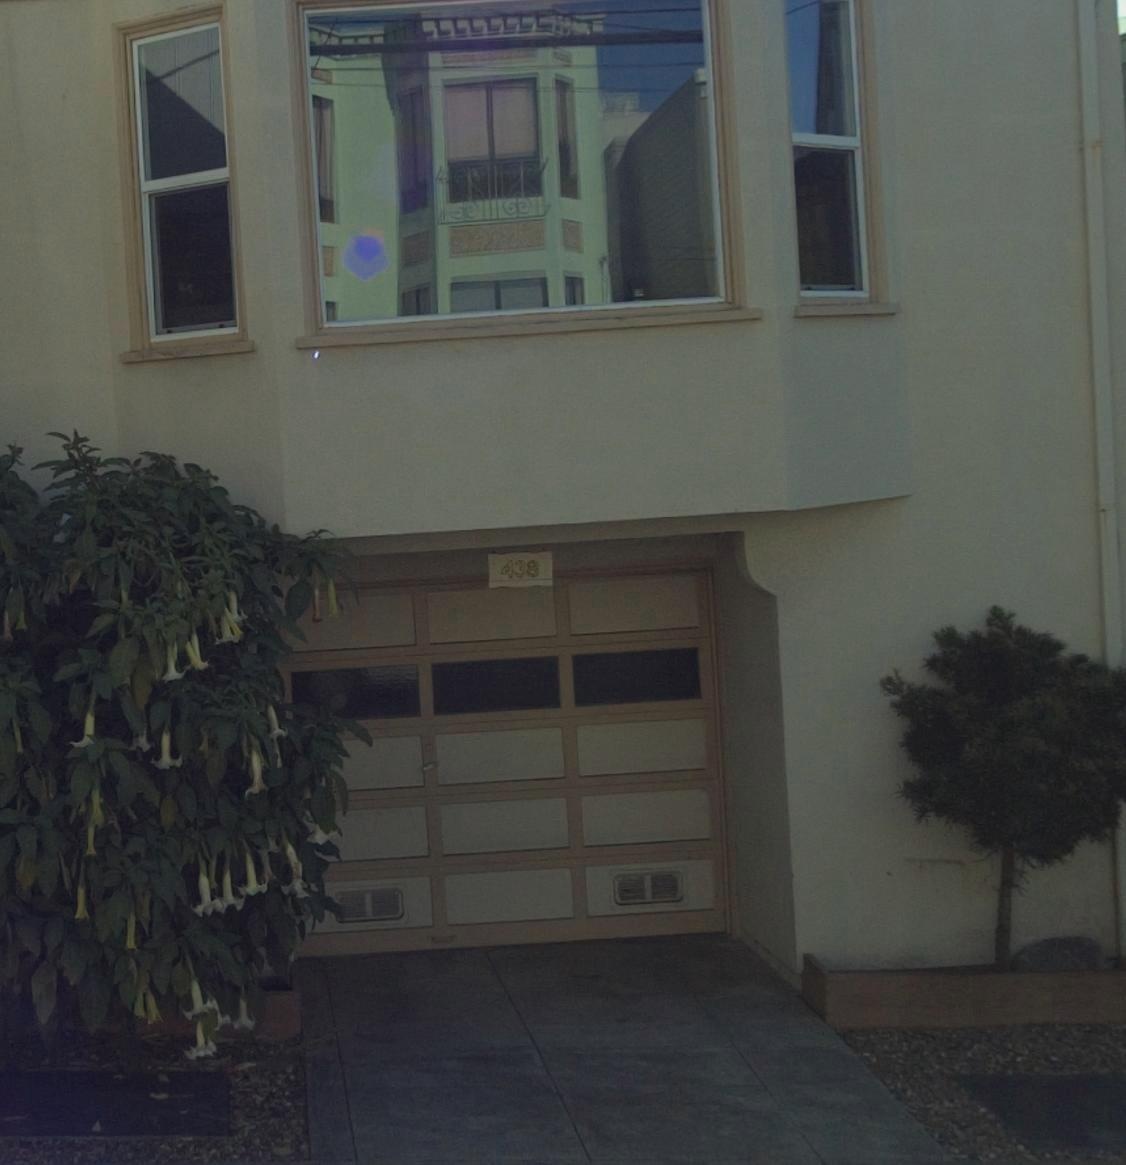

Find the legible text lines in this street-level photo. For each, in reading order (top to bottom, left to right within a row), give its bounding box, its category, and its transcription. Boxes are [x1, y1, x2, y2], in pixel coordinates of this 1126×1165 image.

[497, 556, 540, 582] StreetNumber: 438